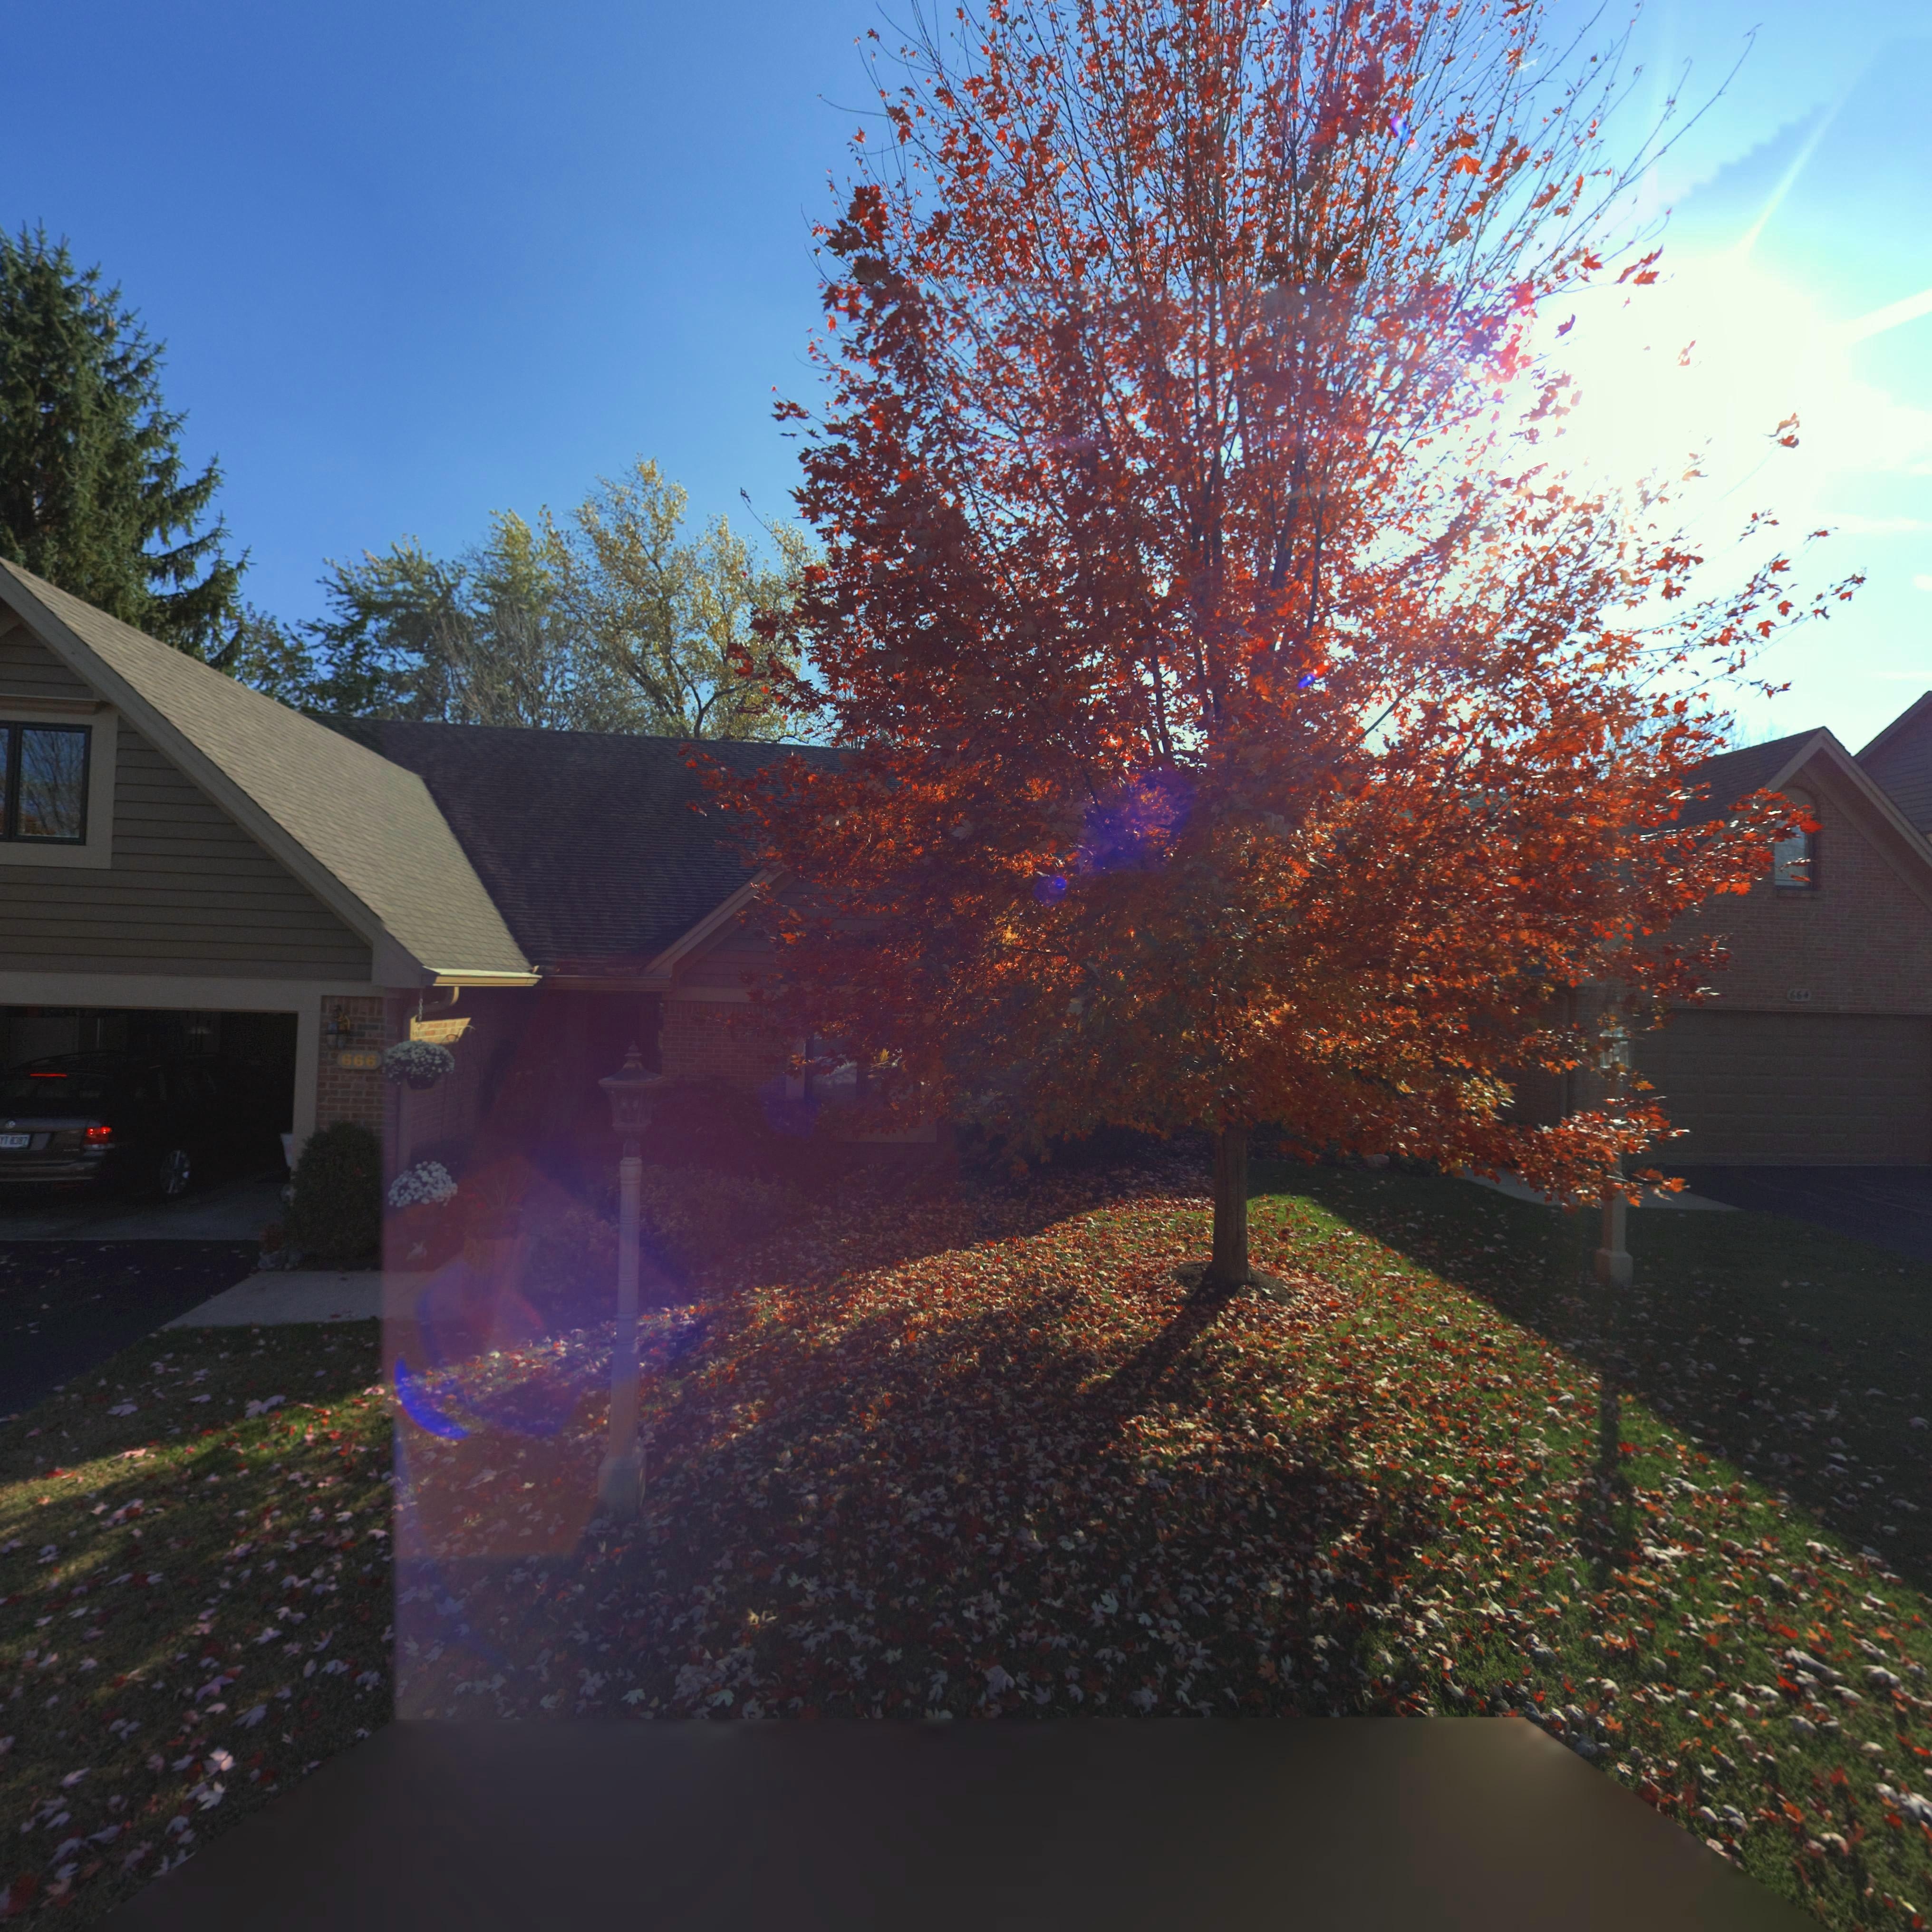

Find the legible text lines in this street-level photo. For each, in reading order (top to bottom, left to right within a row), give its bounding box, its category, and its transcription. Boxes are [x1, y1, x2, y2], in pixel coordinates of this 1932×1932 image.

[1788, 988, 1811, 1002] StreetNumber: 66*
[339, 1052, 378, 1068] StreetNumber: 666